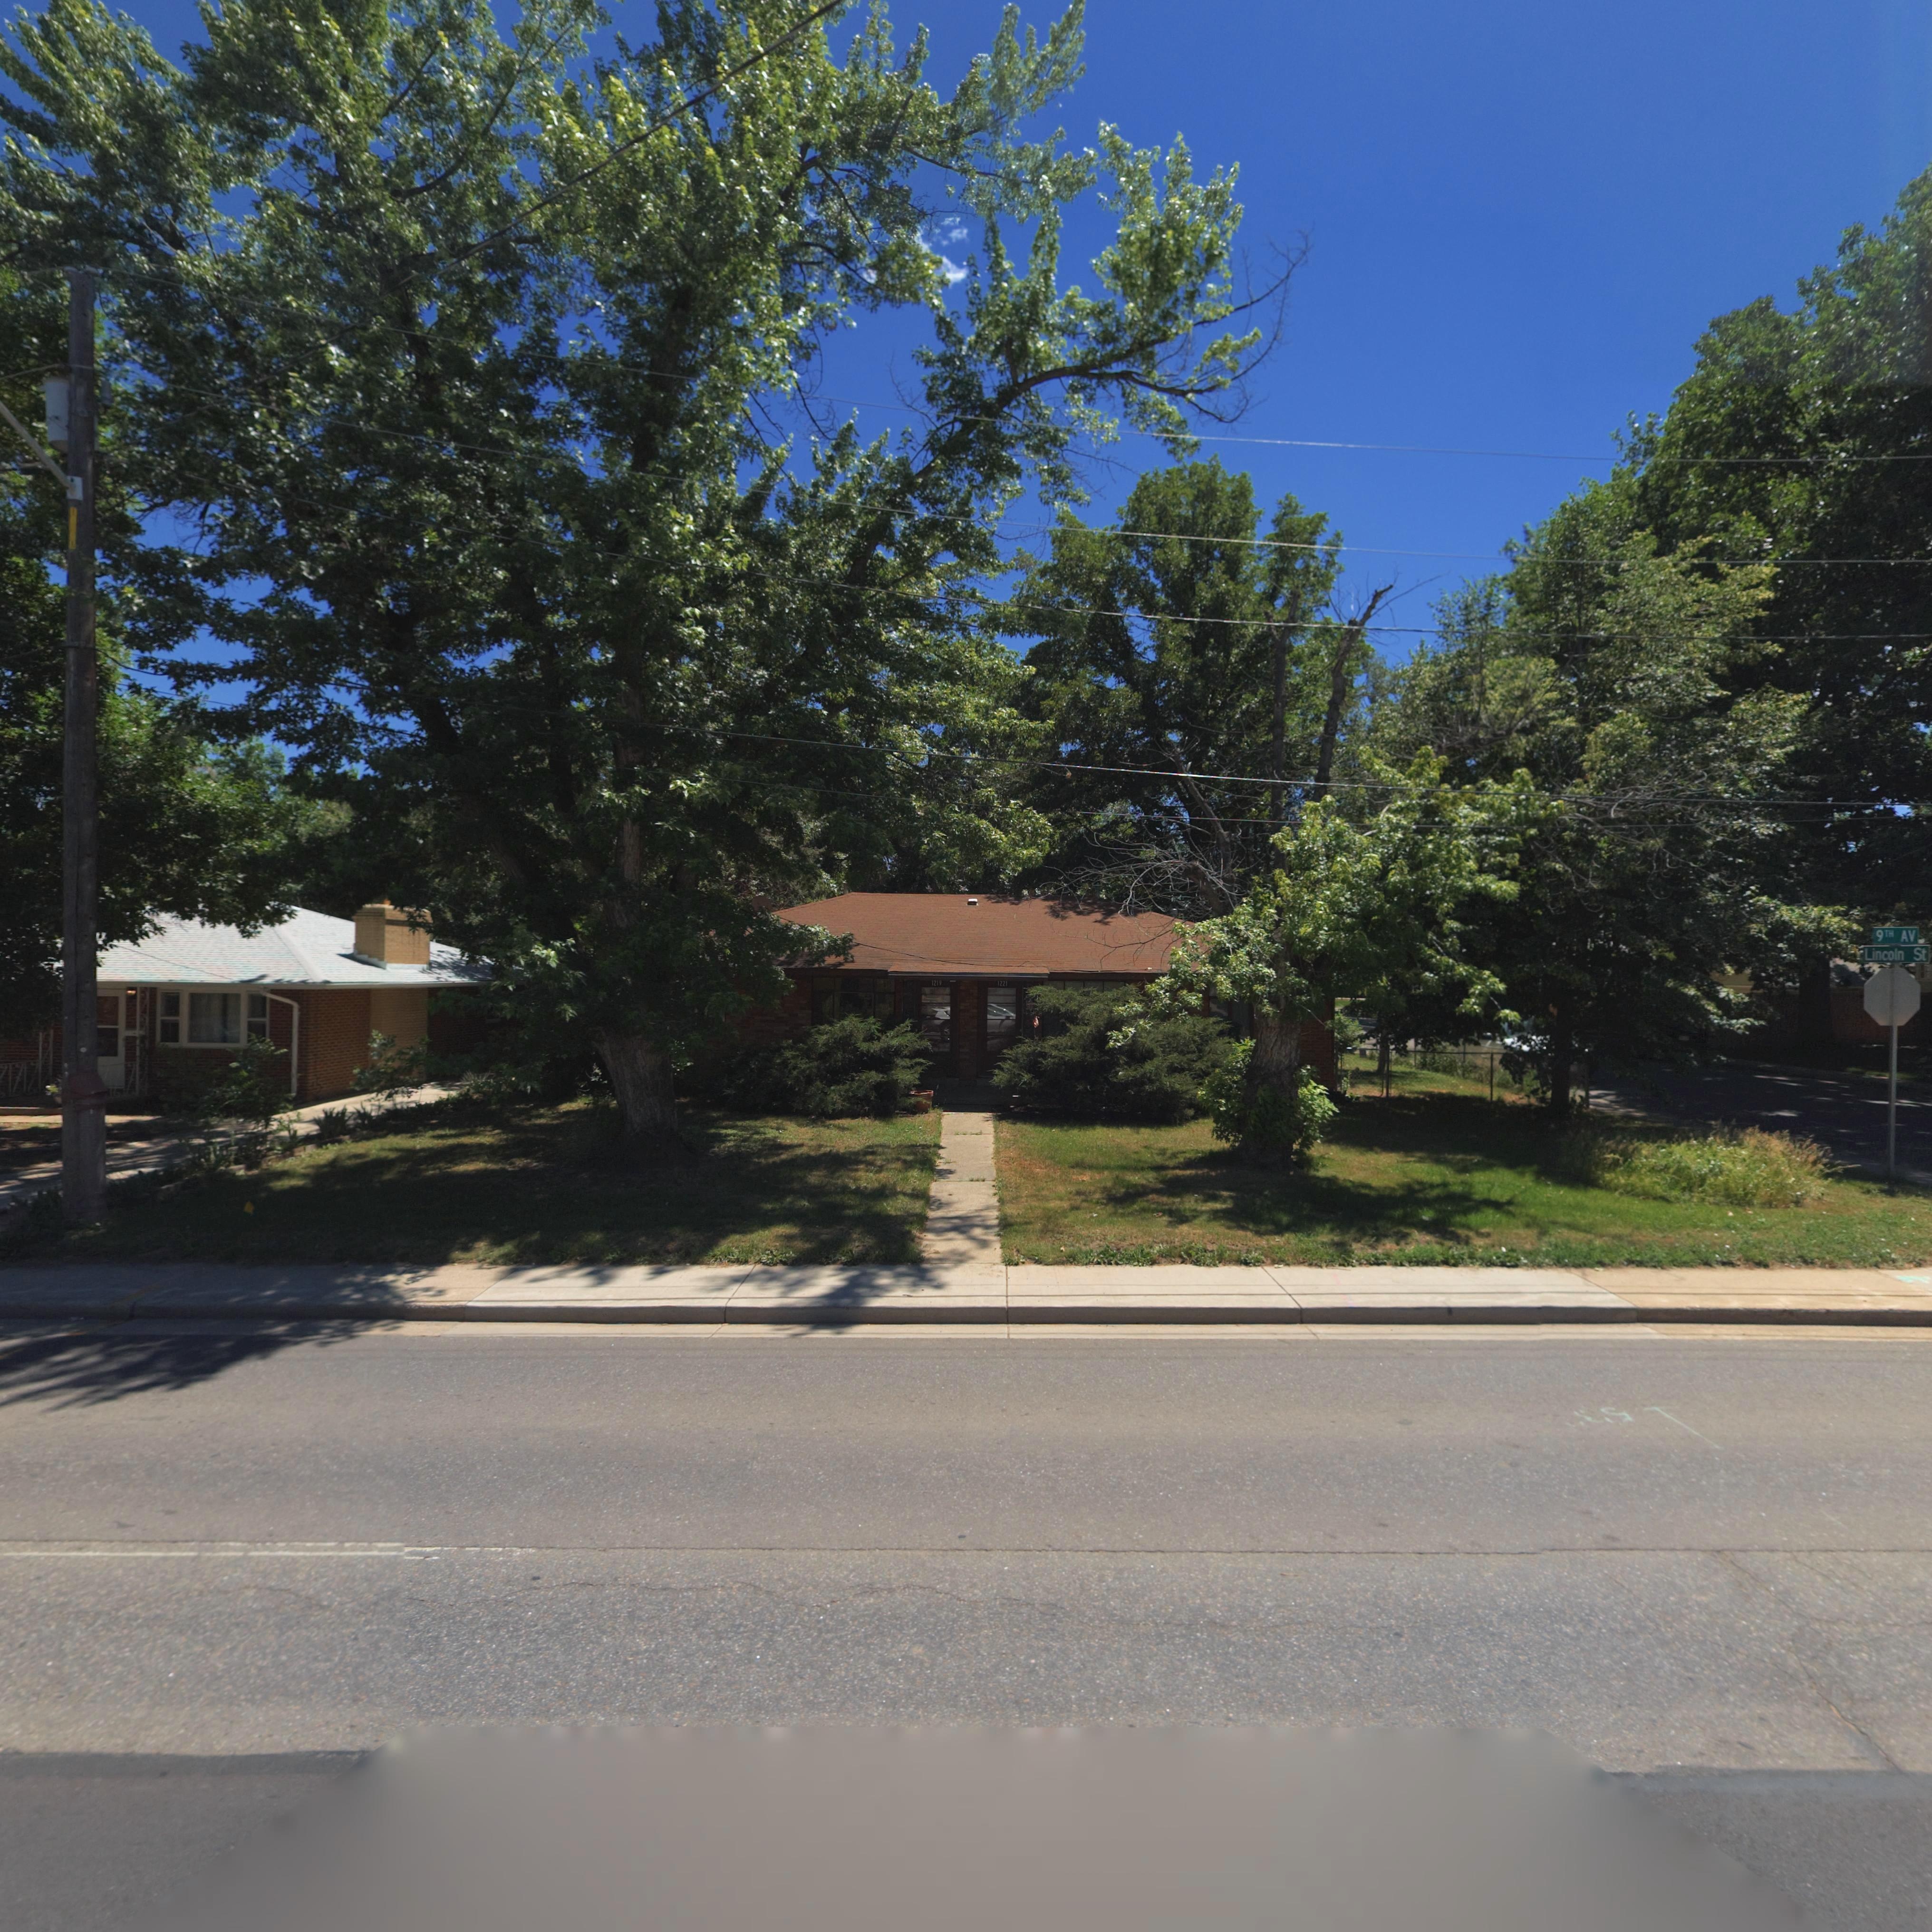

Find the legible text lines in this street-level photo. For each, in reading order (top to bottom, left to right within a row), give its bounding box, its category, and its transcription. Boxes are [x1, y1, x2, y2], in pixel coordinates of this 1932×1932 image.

[1875, 929, 1916, 942] StreetName: 9TH AV
[1864, 947, 1927, 962] StreetName: Lincoln St
[931, 980, 942, 986] StreetNumber: 1219
[997, 980, 1007, 986] StreetNumber: 1221